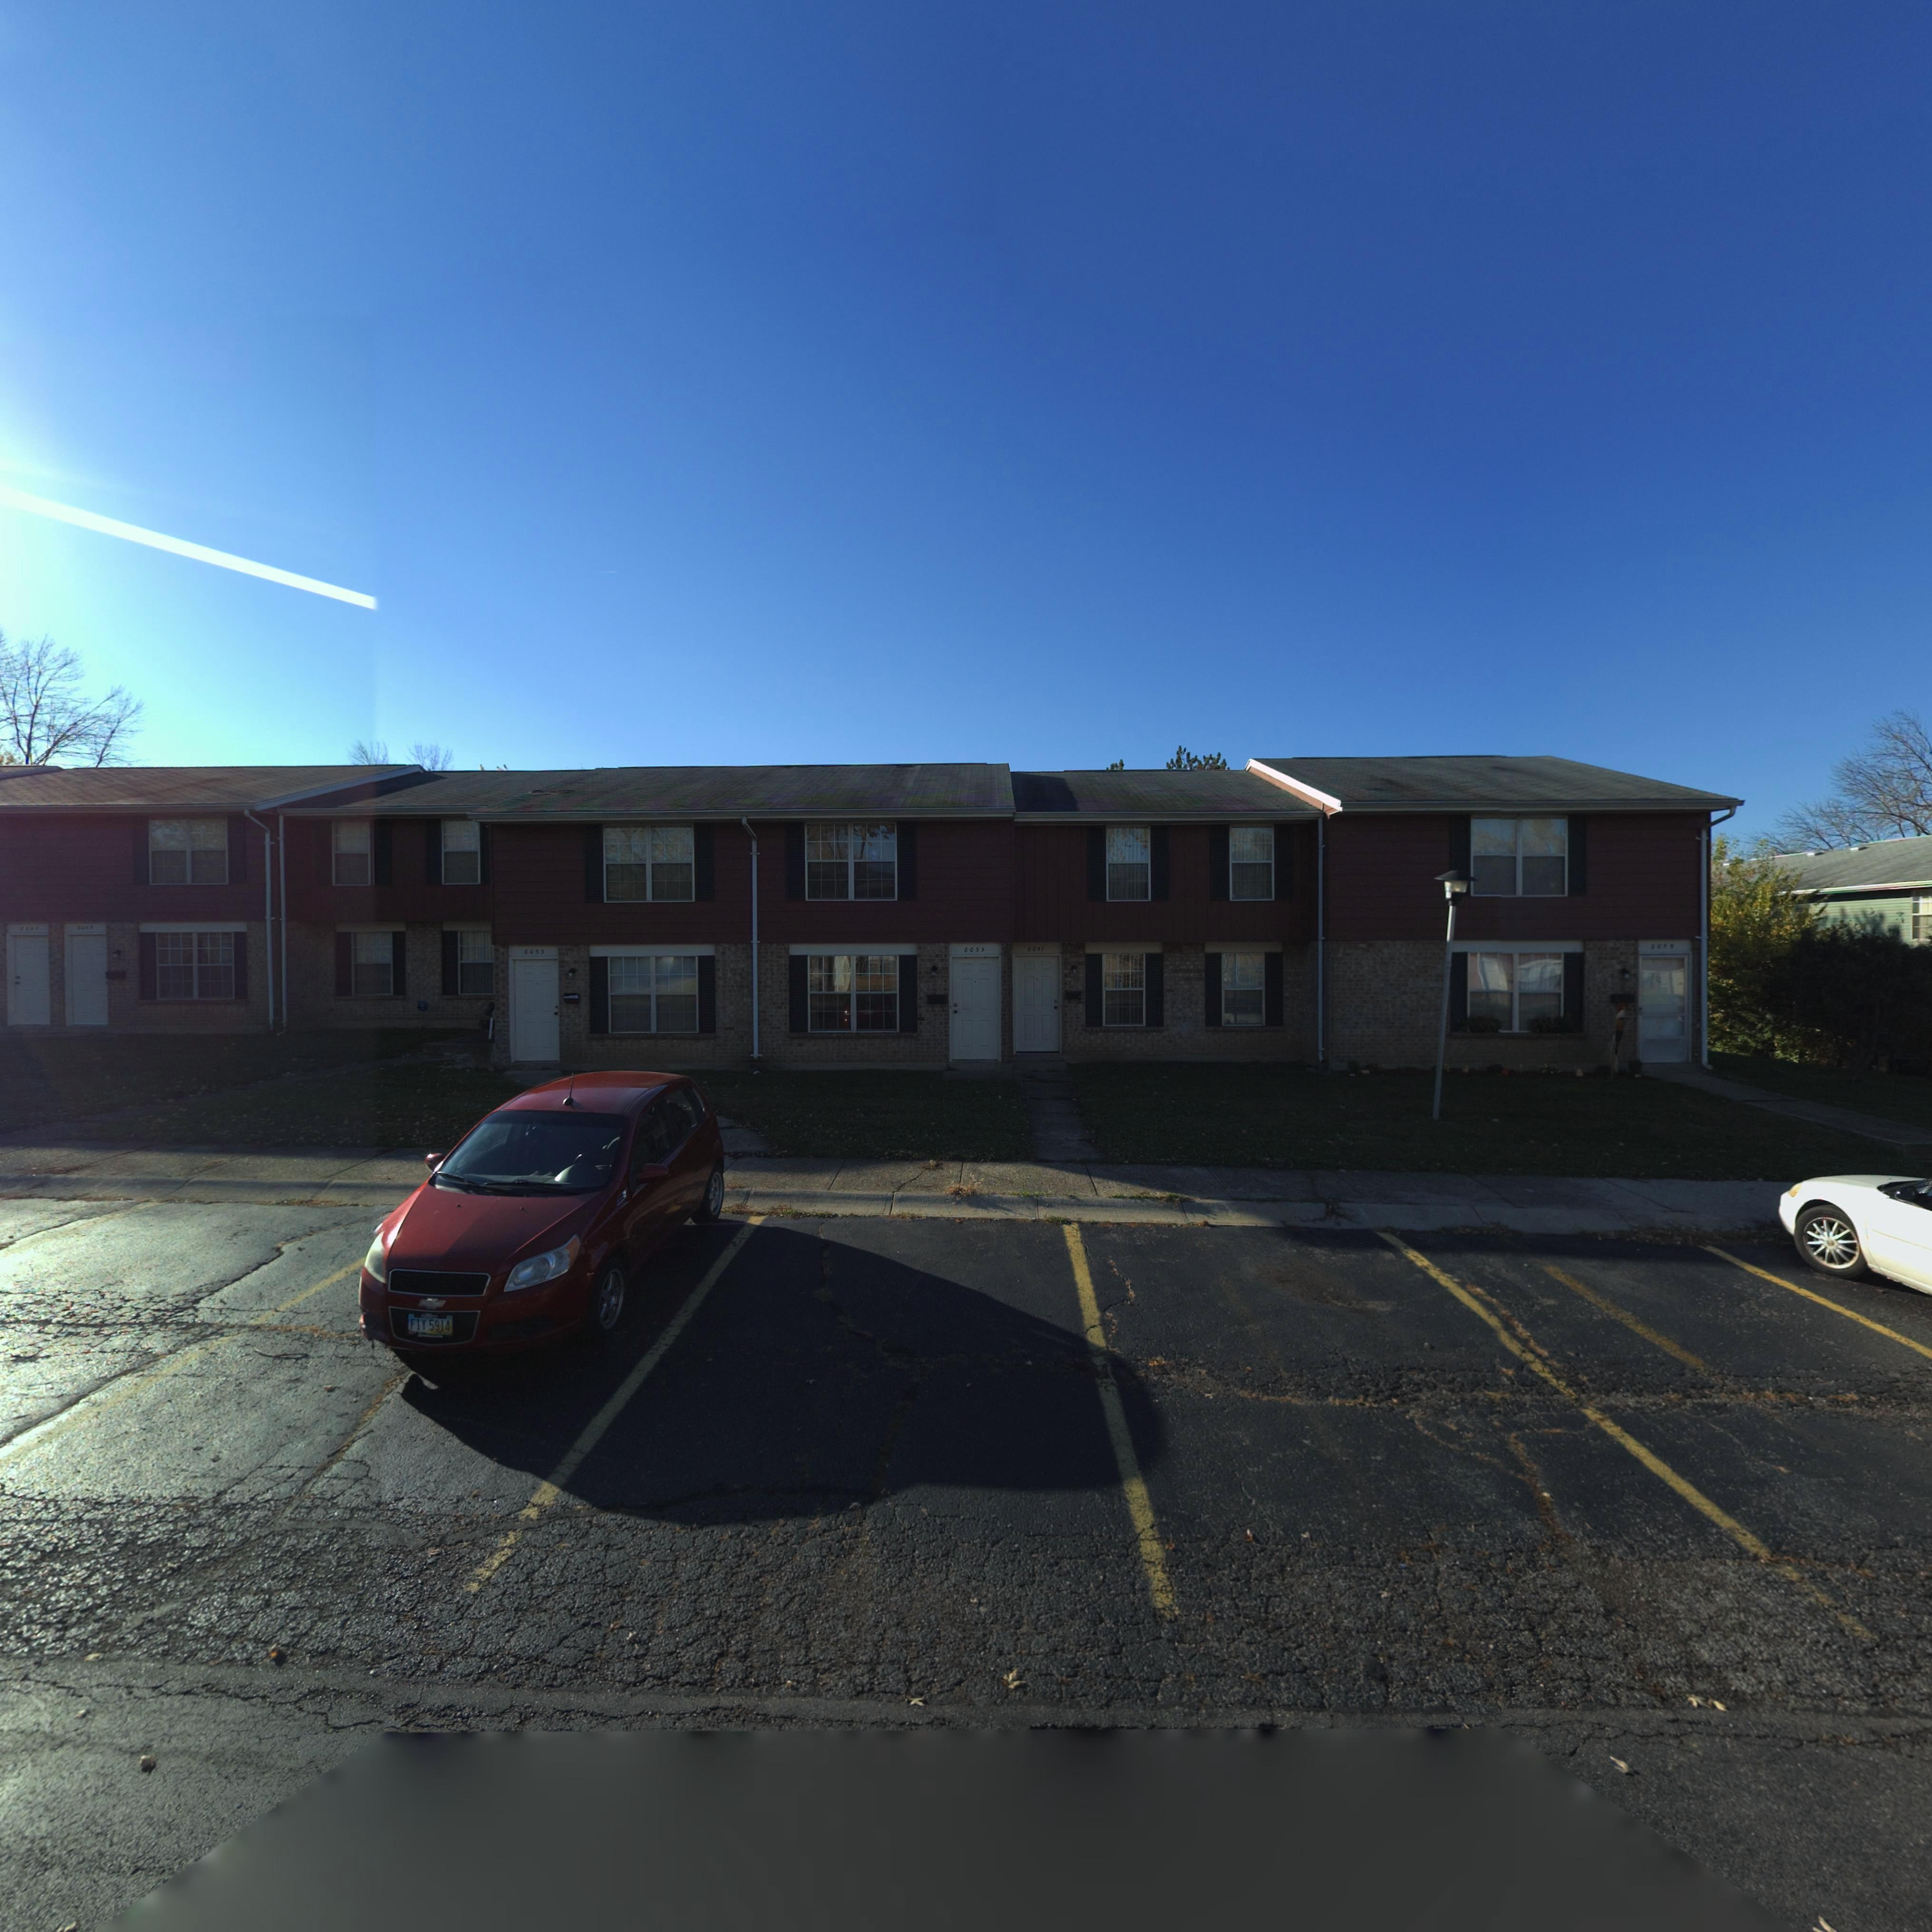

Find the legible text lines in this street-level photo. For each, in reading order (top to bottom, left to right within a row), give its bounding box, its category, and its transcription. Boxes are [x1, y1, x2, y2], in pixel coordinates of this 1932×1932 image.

[523, 948, 546, 956] StreetNumber: 8053
[963, 946, 986, 954] StreetNumber: 8055
[1027, 946, 1045, 952] StreetNumber: 8057
[1649, 942, 1676, 951] StreetNumber: 80*9